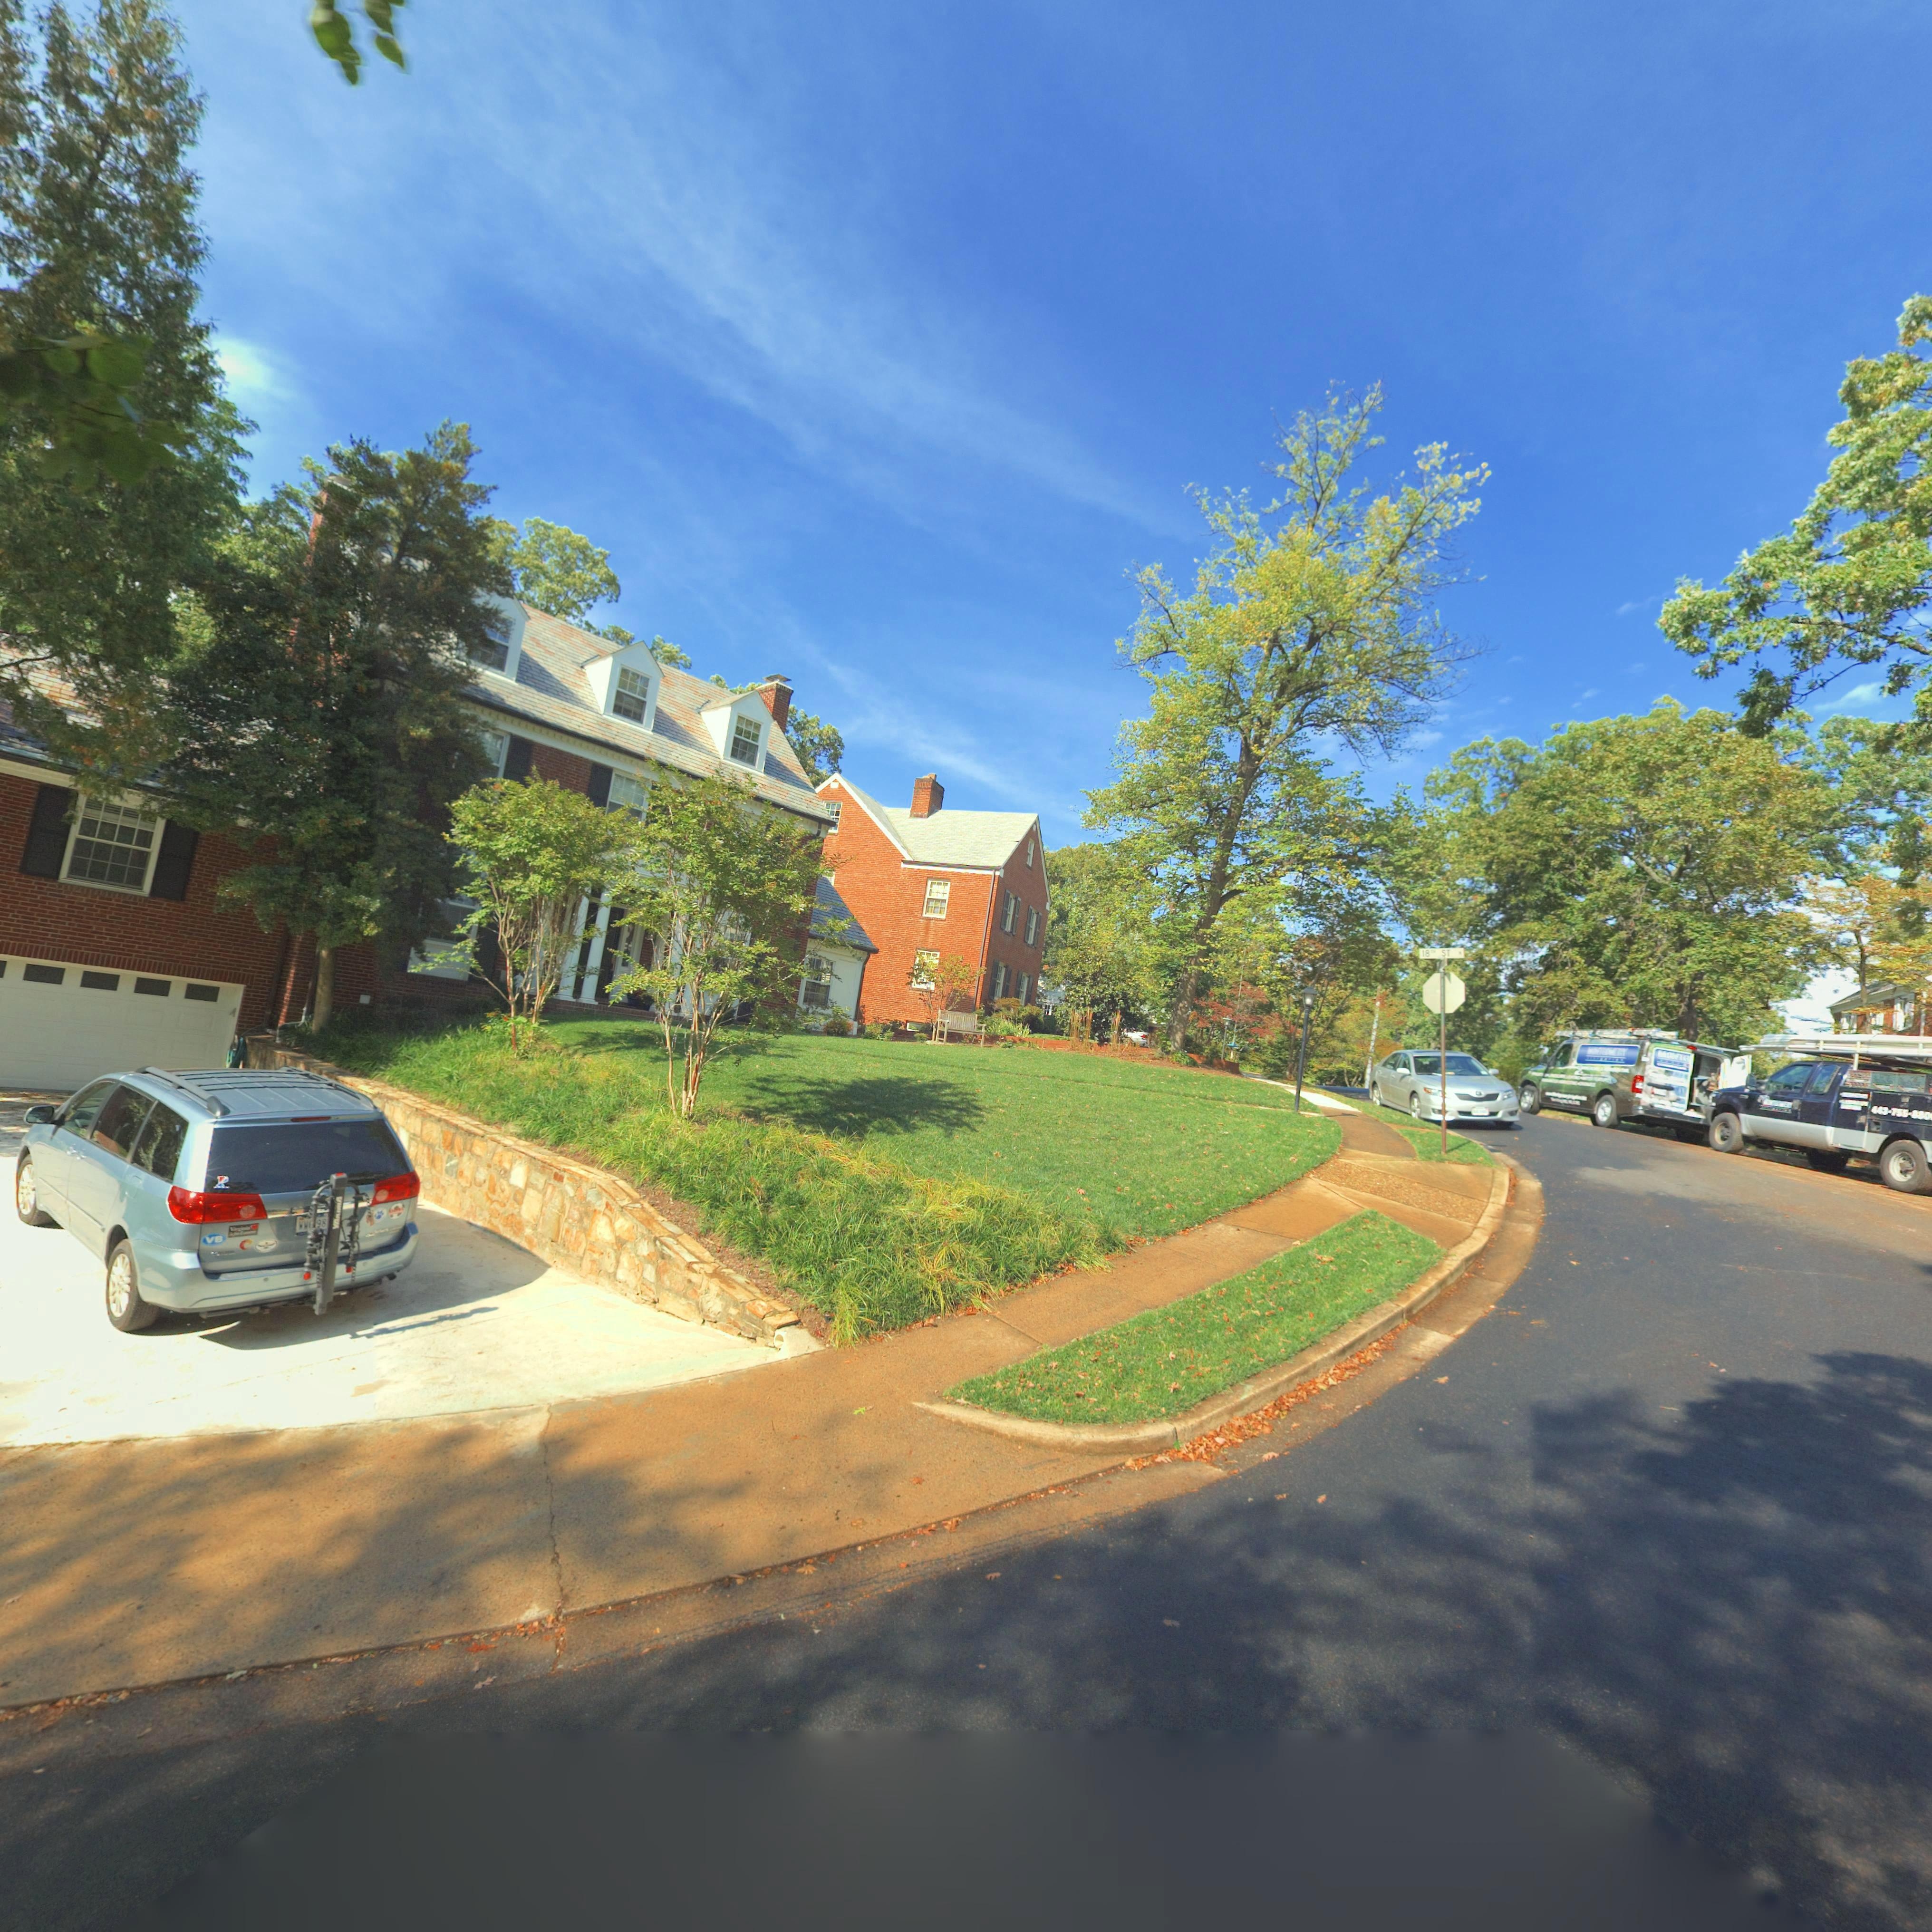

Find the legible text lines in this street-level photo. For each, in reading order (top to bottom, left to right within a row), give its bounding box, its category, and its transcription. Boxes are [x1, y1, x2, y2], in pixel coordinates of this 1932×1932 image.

[1421, 948, 1451, 958] StreetNumber: 18** ST
[315, 1217, 328, 1229] None: 98
[203, 1234, 225, 1246] None: VB